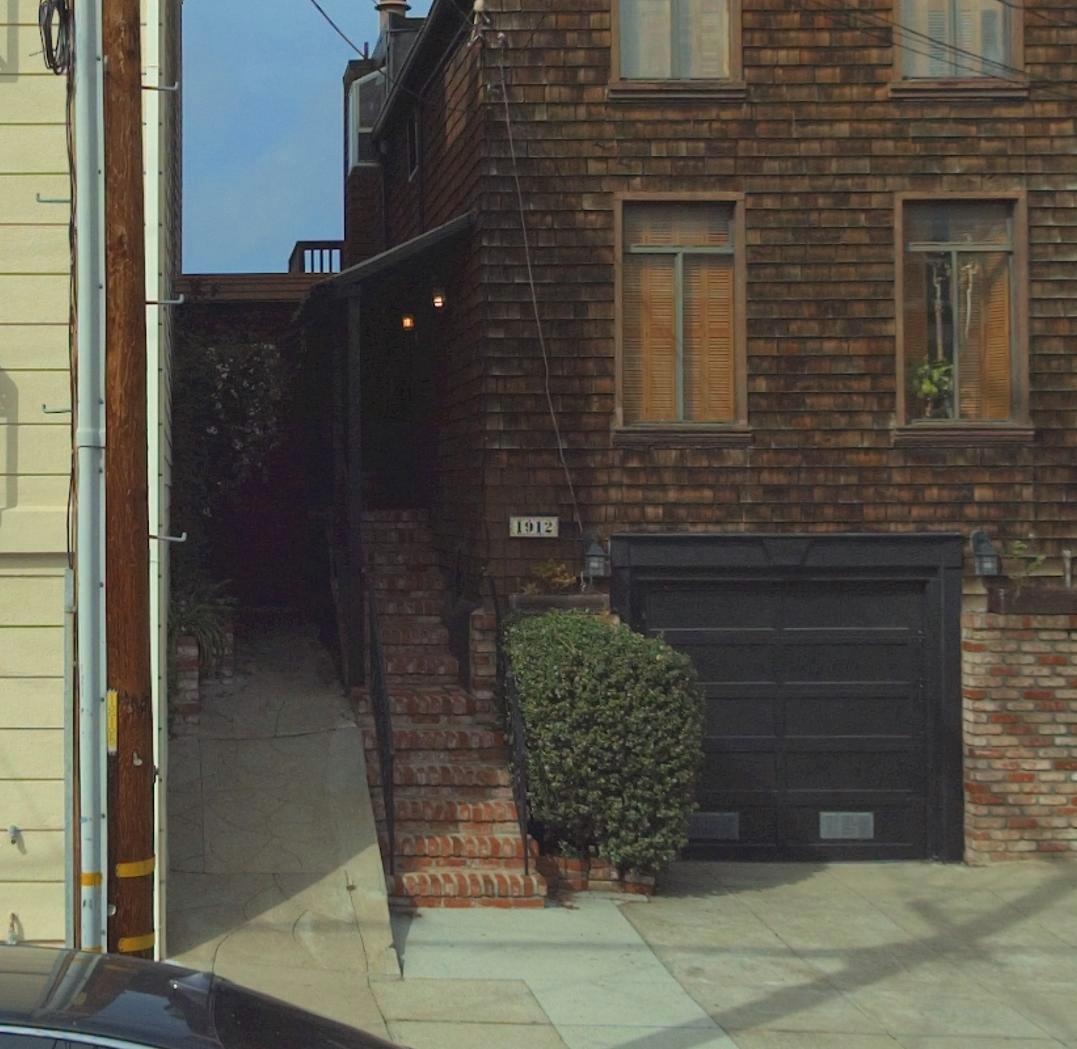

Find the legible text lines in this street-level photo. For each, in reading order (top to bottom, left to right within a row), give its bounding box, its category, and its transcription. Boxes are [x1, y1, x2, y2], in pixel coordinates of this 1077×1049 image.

[515, 520, 554, 535] StreetNumber: 1912